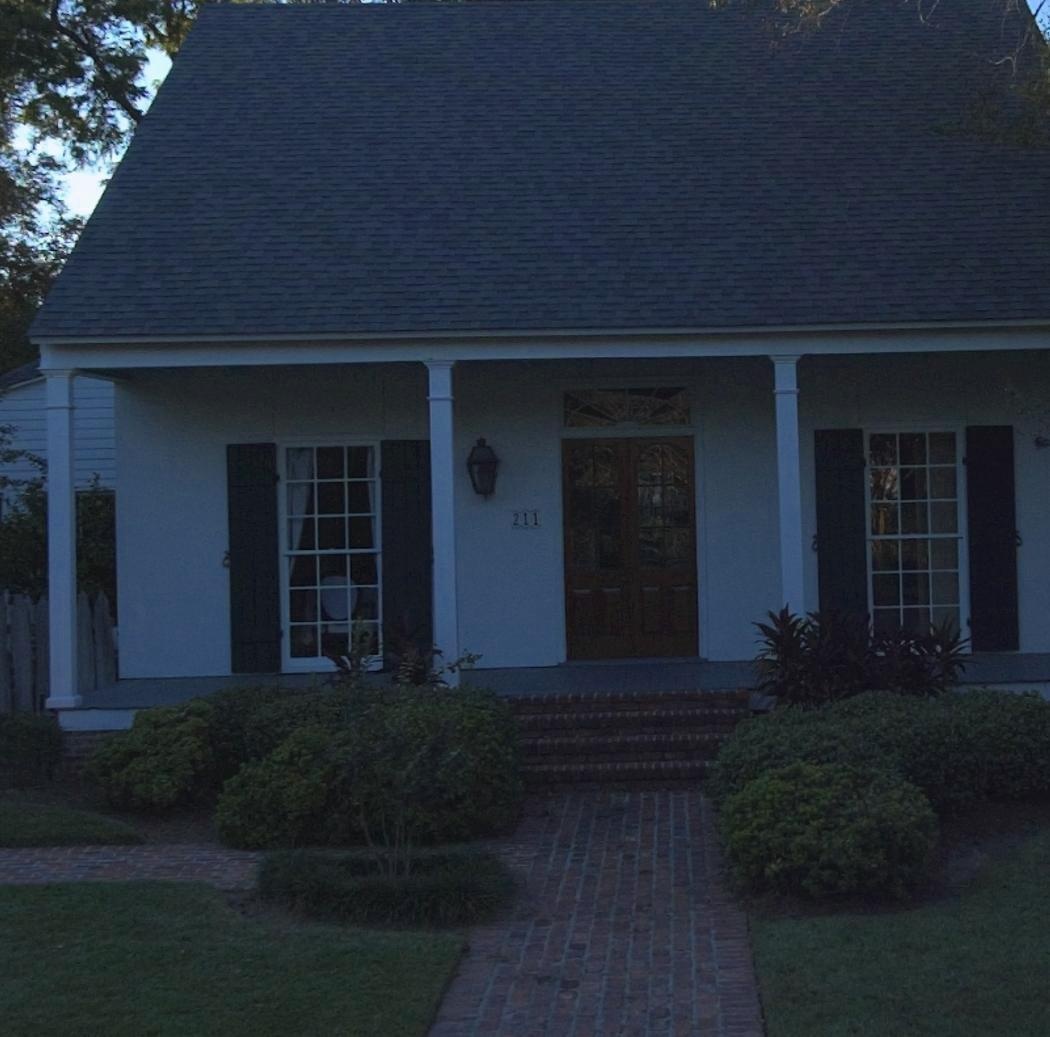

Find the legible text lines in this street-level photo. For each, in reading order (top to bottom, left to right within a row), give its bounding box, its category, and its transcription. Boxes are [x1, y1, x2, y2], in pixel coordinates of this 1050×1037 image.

[513, 512, 539, 526] StreetNumber: 211